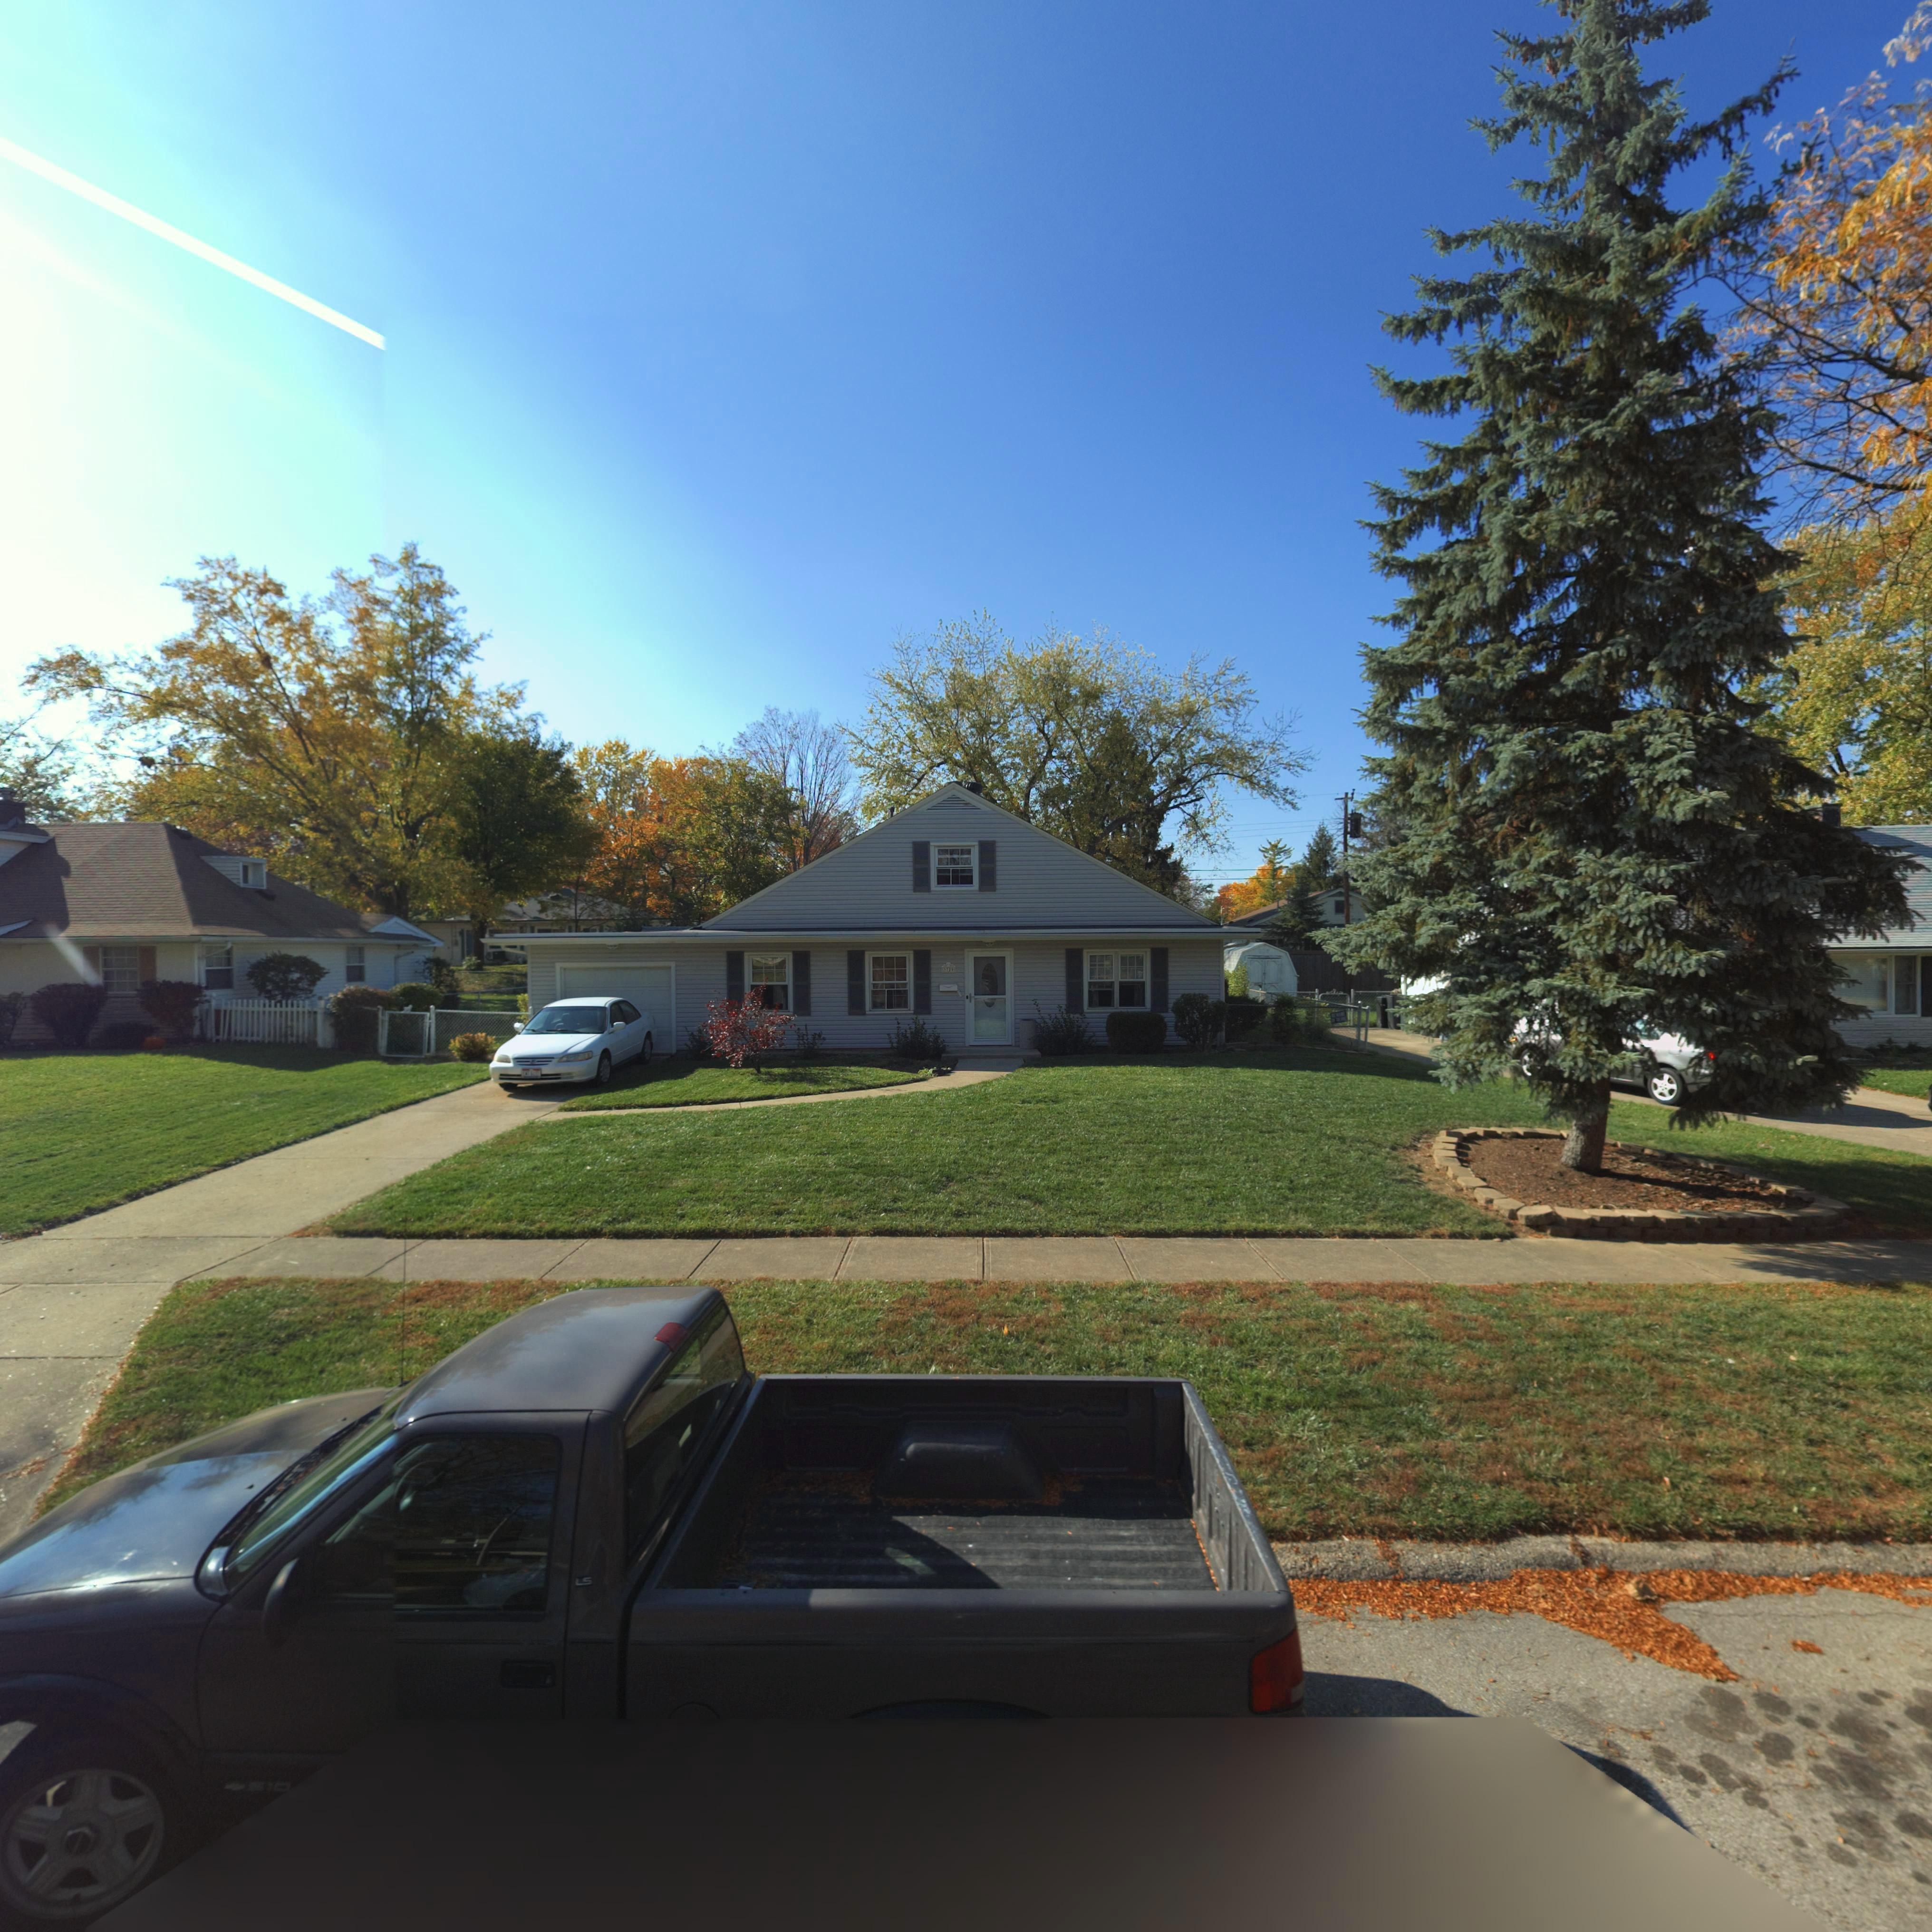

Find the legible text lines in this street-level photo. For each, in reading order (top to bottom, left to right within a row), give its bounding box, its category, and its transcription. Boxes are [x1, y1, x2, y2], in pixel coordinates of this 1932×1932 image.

[943, 967, 954, 972] StreetNumber: 37**
[574, 1576, 593, 1586] None: LS
[246, 1781, 292, 1793] None: 510